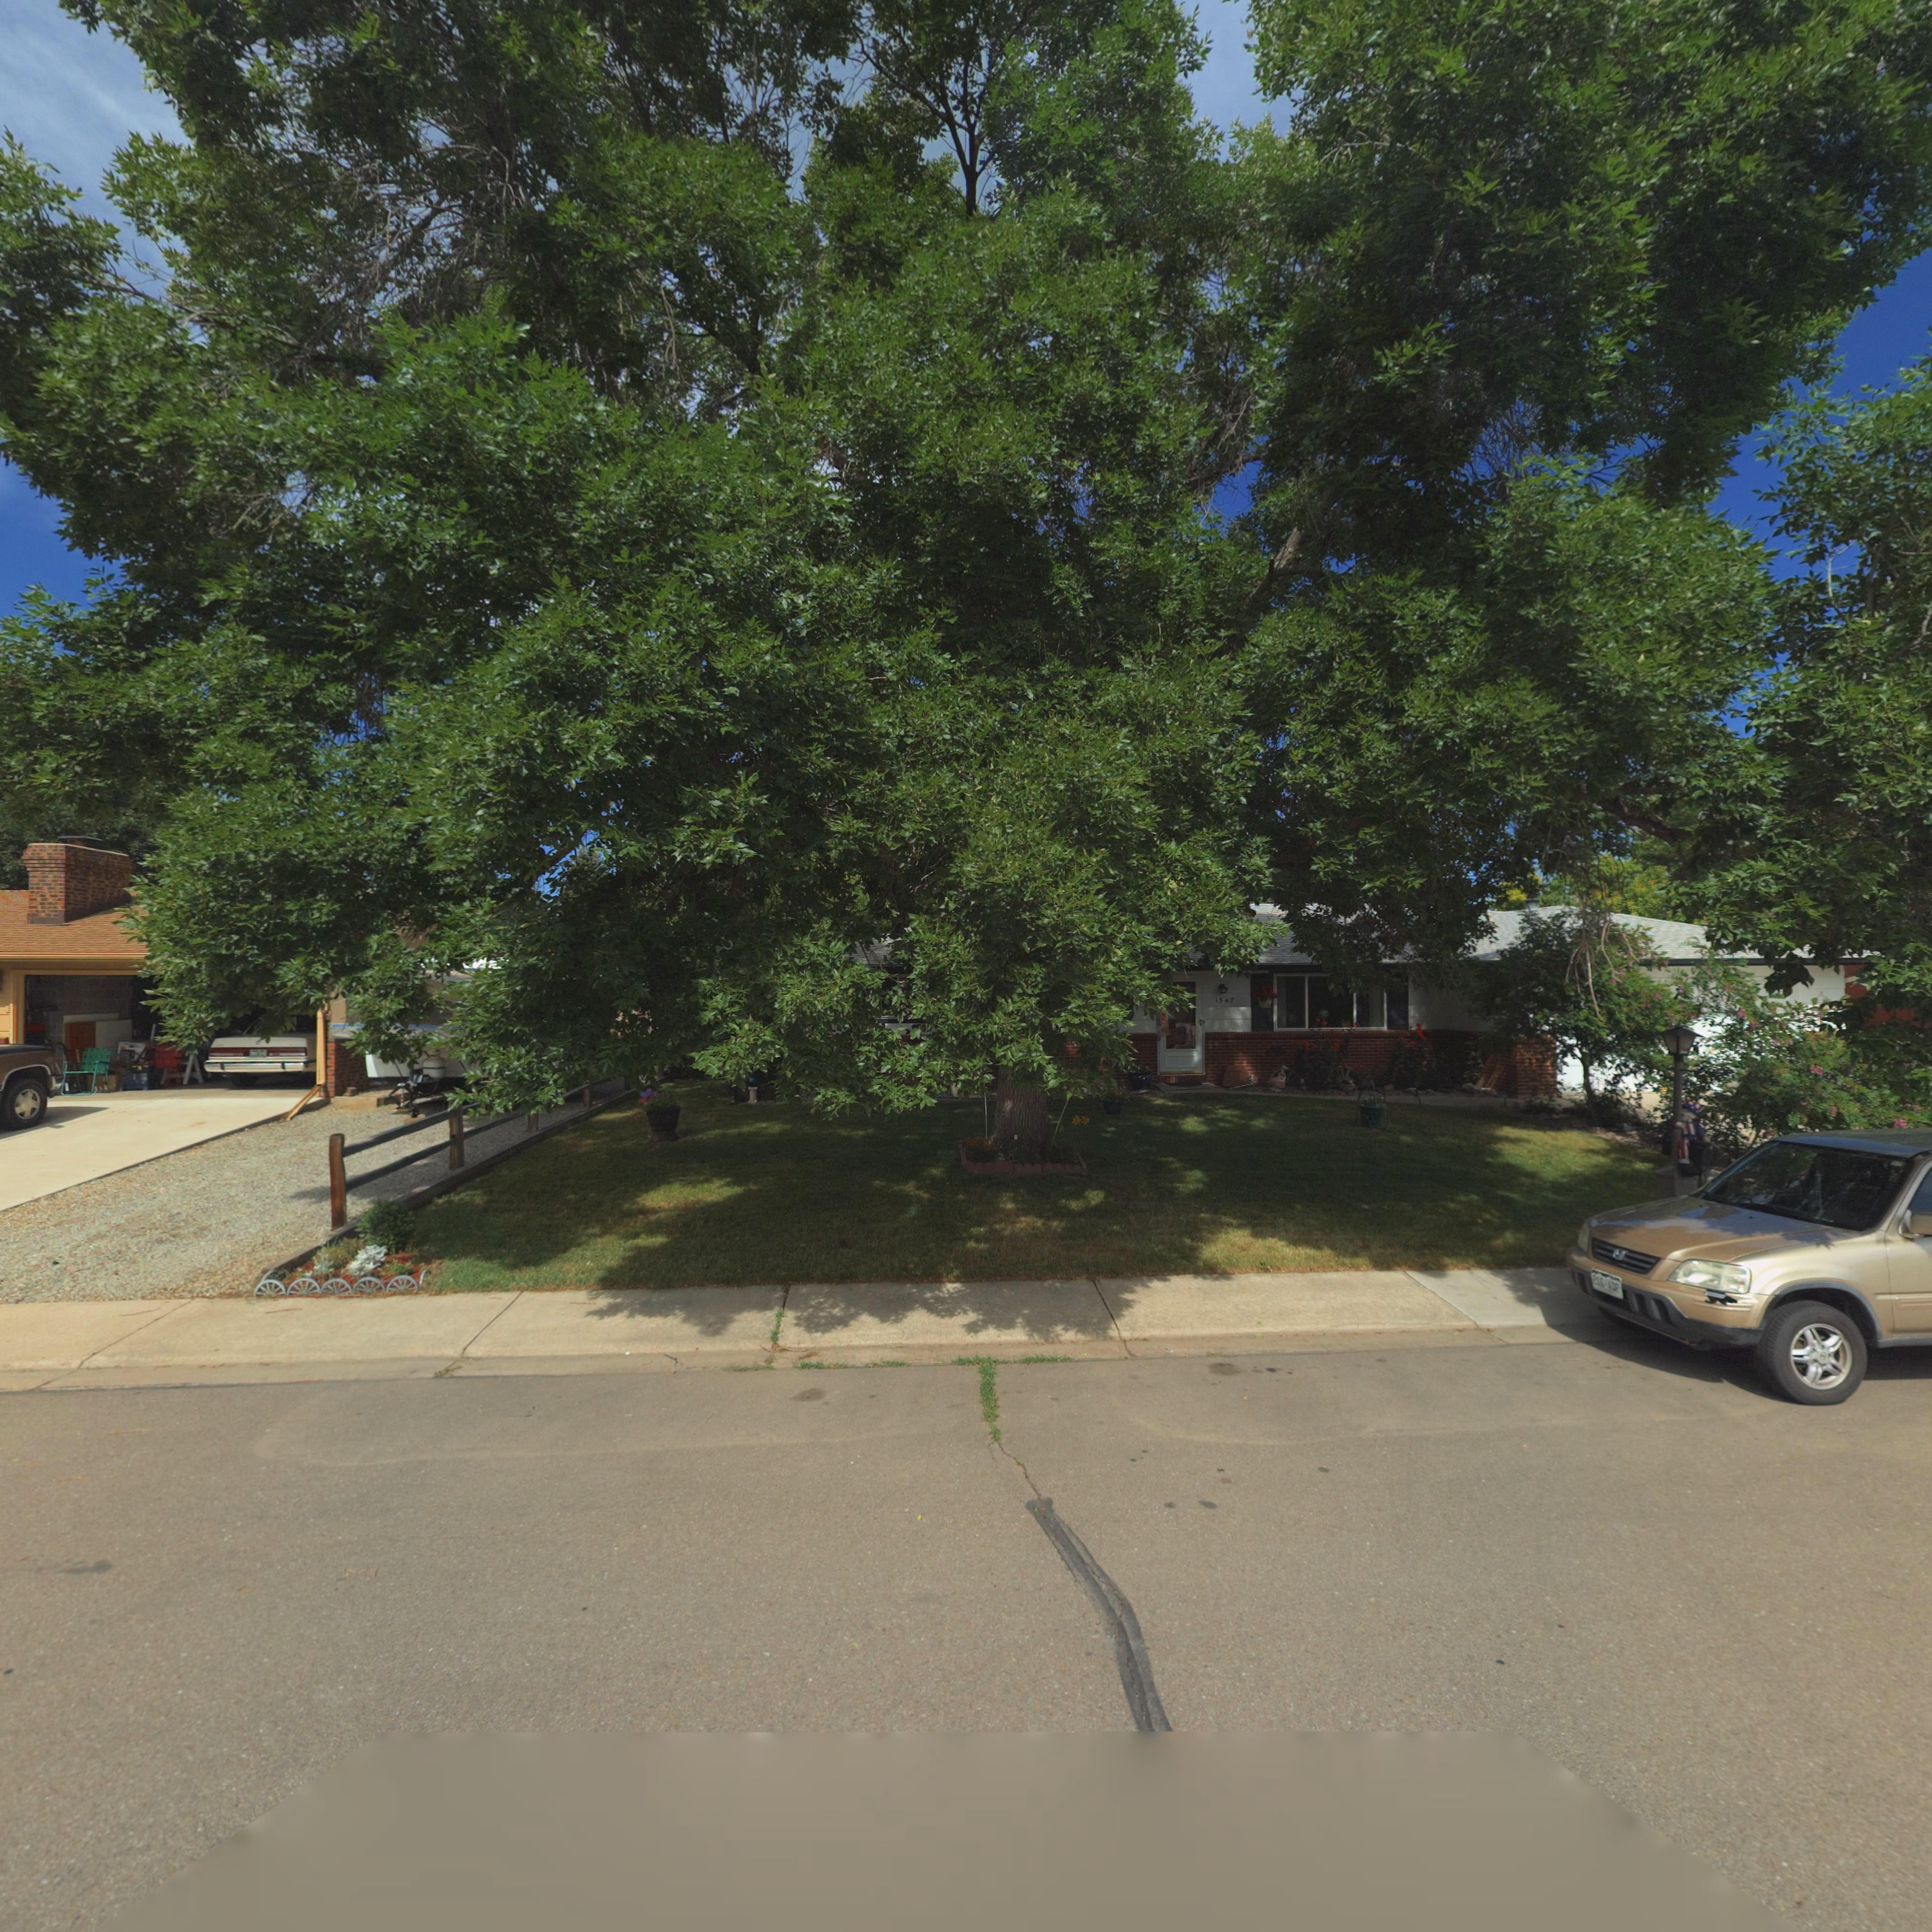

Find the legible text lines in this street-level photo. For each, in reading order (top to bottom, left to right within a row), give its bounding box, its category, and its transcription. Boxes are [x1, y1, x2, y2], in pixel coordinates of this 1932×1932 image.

[1214, 996, 1235, 1004] StreetNumber: 1547